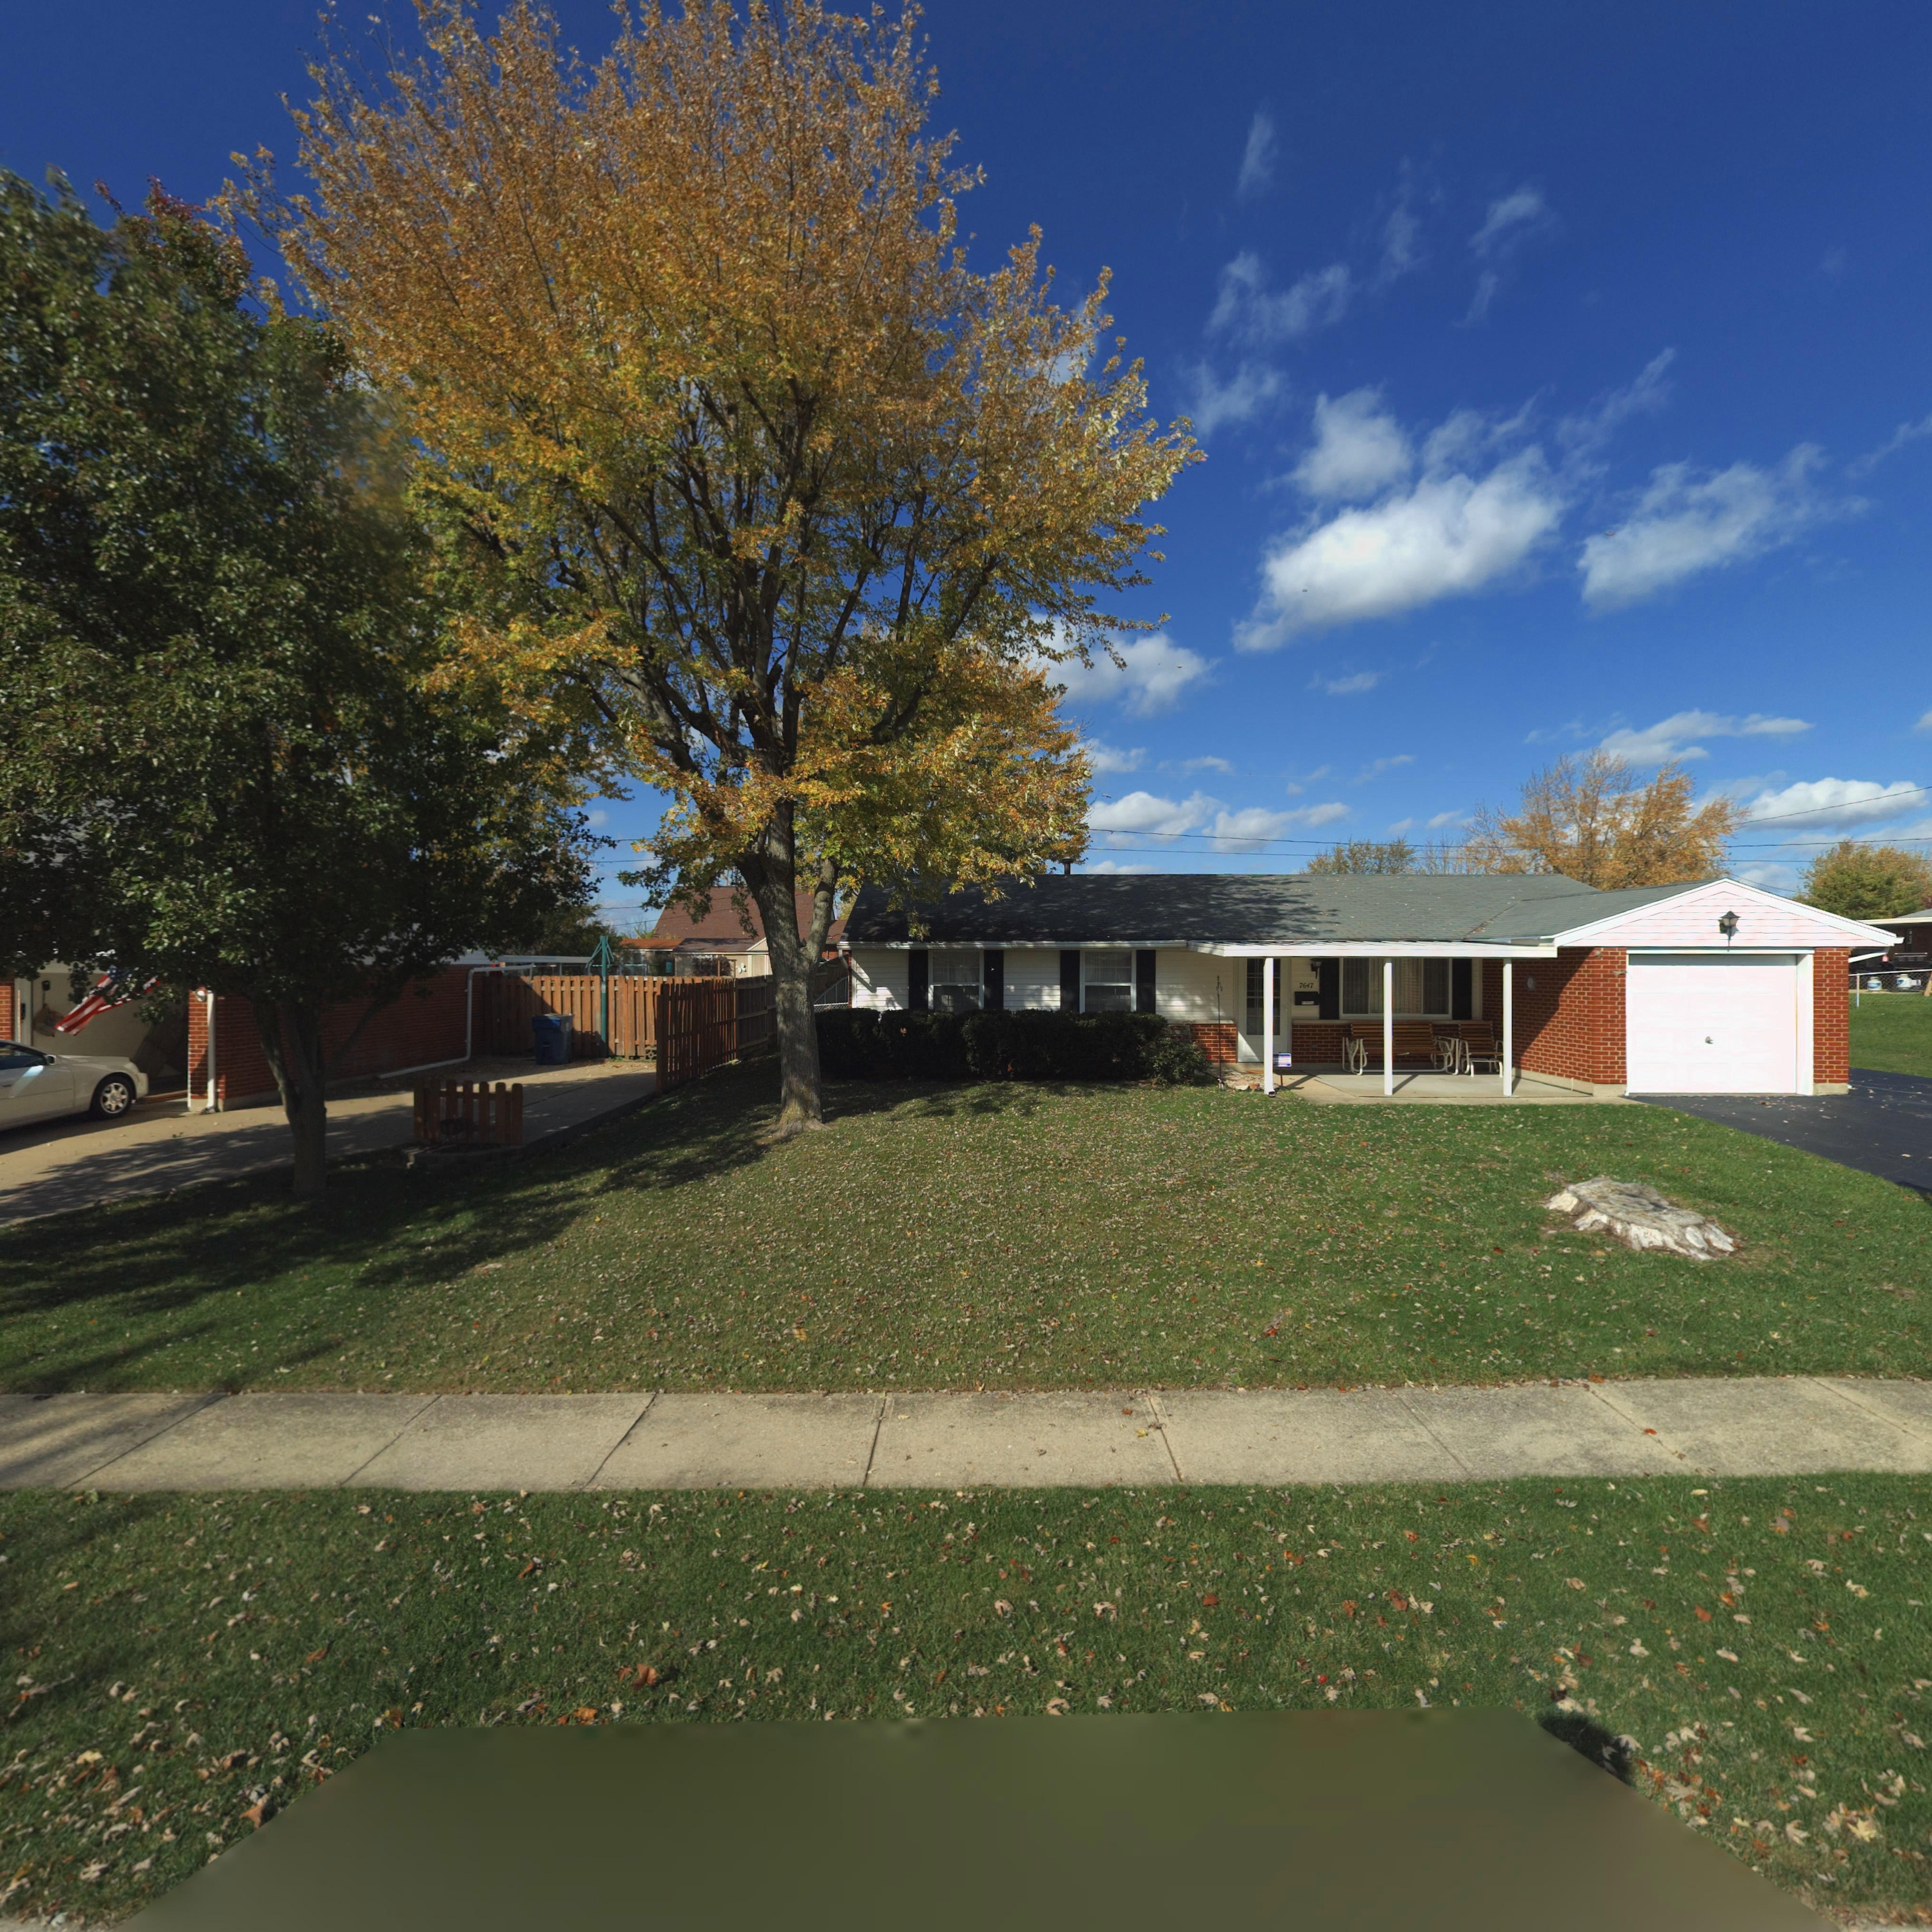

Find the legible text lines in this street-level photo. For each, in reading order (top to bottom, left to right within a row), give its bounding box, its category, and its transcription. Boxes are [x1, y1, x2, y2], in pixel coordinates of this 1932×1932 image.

[1299, 982, 1314, 988] StreetNumber: 7647